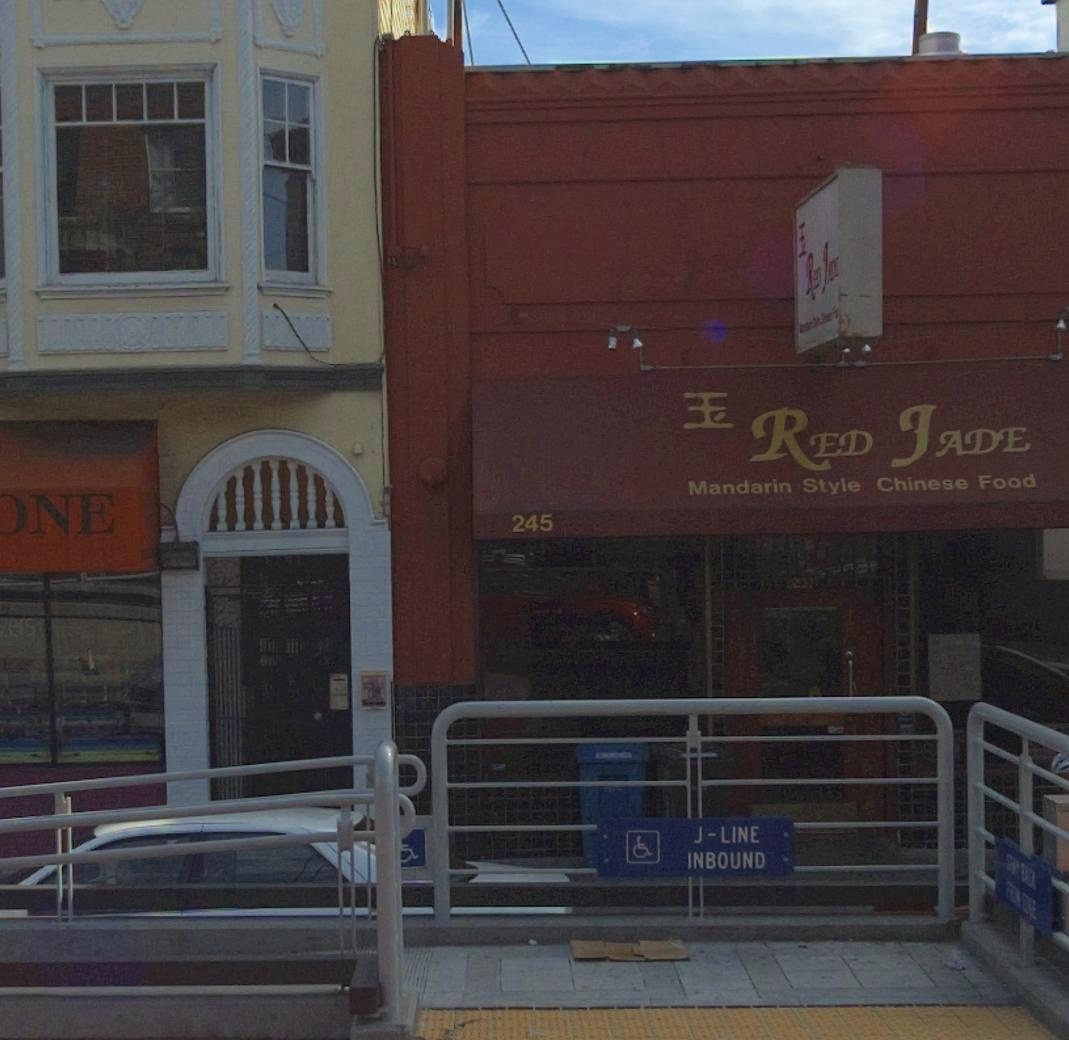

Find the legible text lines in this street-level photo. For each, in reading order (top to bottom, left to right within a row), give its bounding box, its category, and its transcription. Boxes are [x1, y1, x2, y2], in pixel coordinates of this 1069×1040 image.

[801, 247, 819, 304] None: R
[819, 238, 832, 298] None: J
[744, 400, 1035, 475] BusinessName: RED JADE
[684, 470, 1041, 499] None: Mandarin Style Chinese Food
[27, 490, 117, 538] BusinessName: NE
[510, 512, 555, 534] StreetNumber: 245
[691, 822, 762, 847] None: J-LINE
[686, 848, 768, 872] None: INBOUND